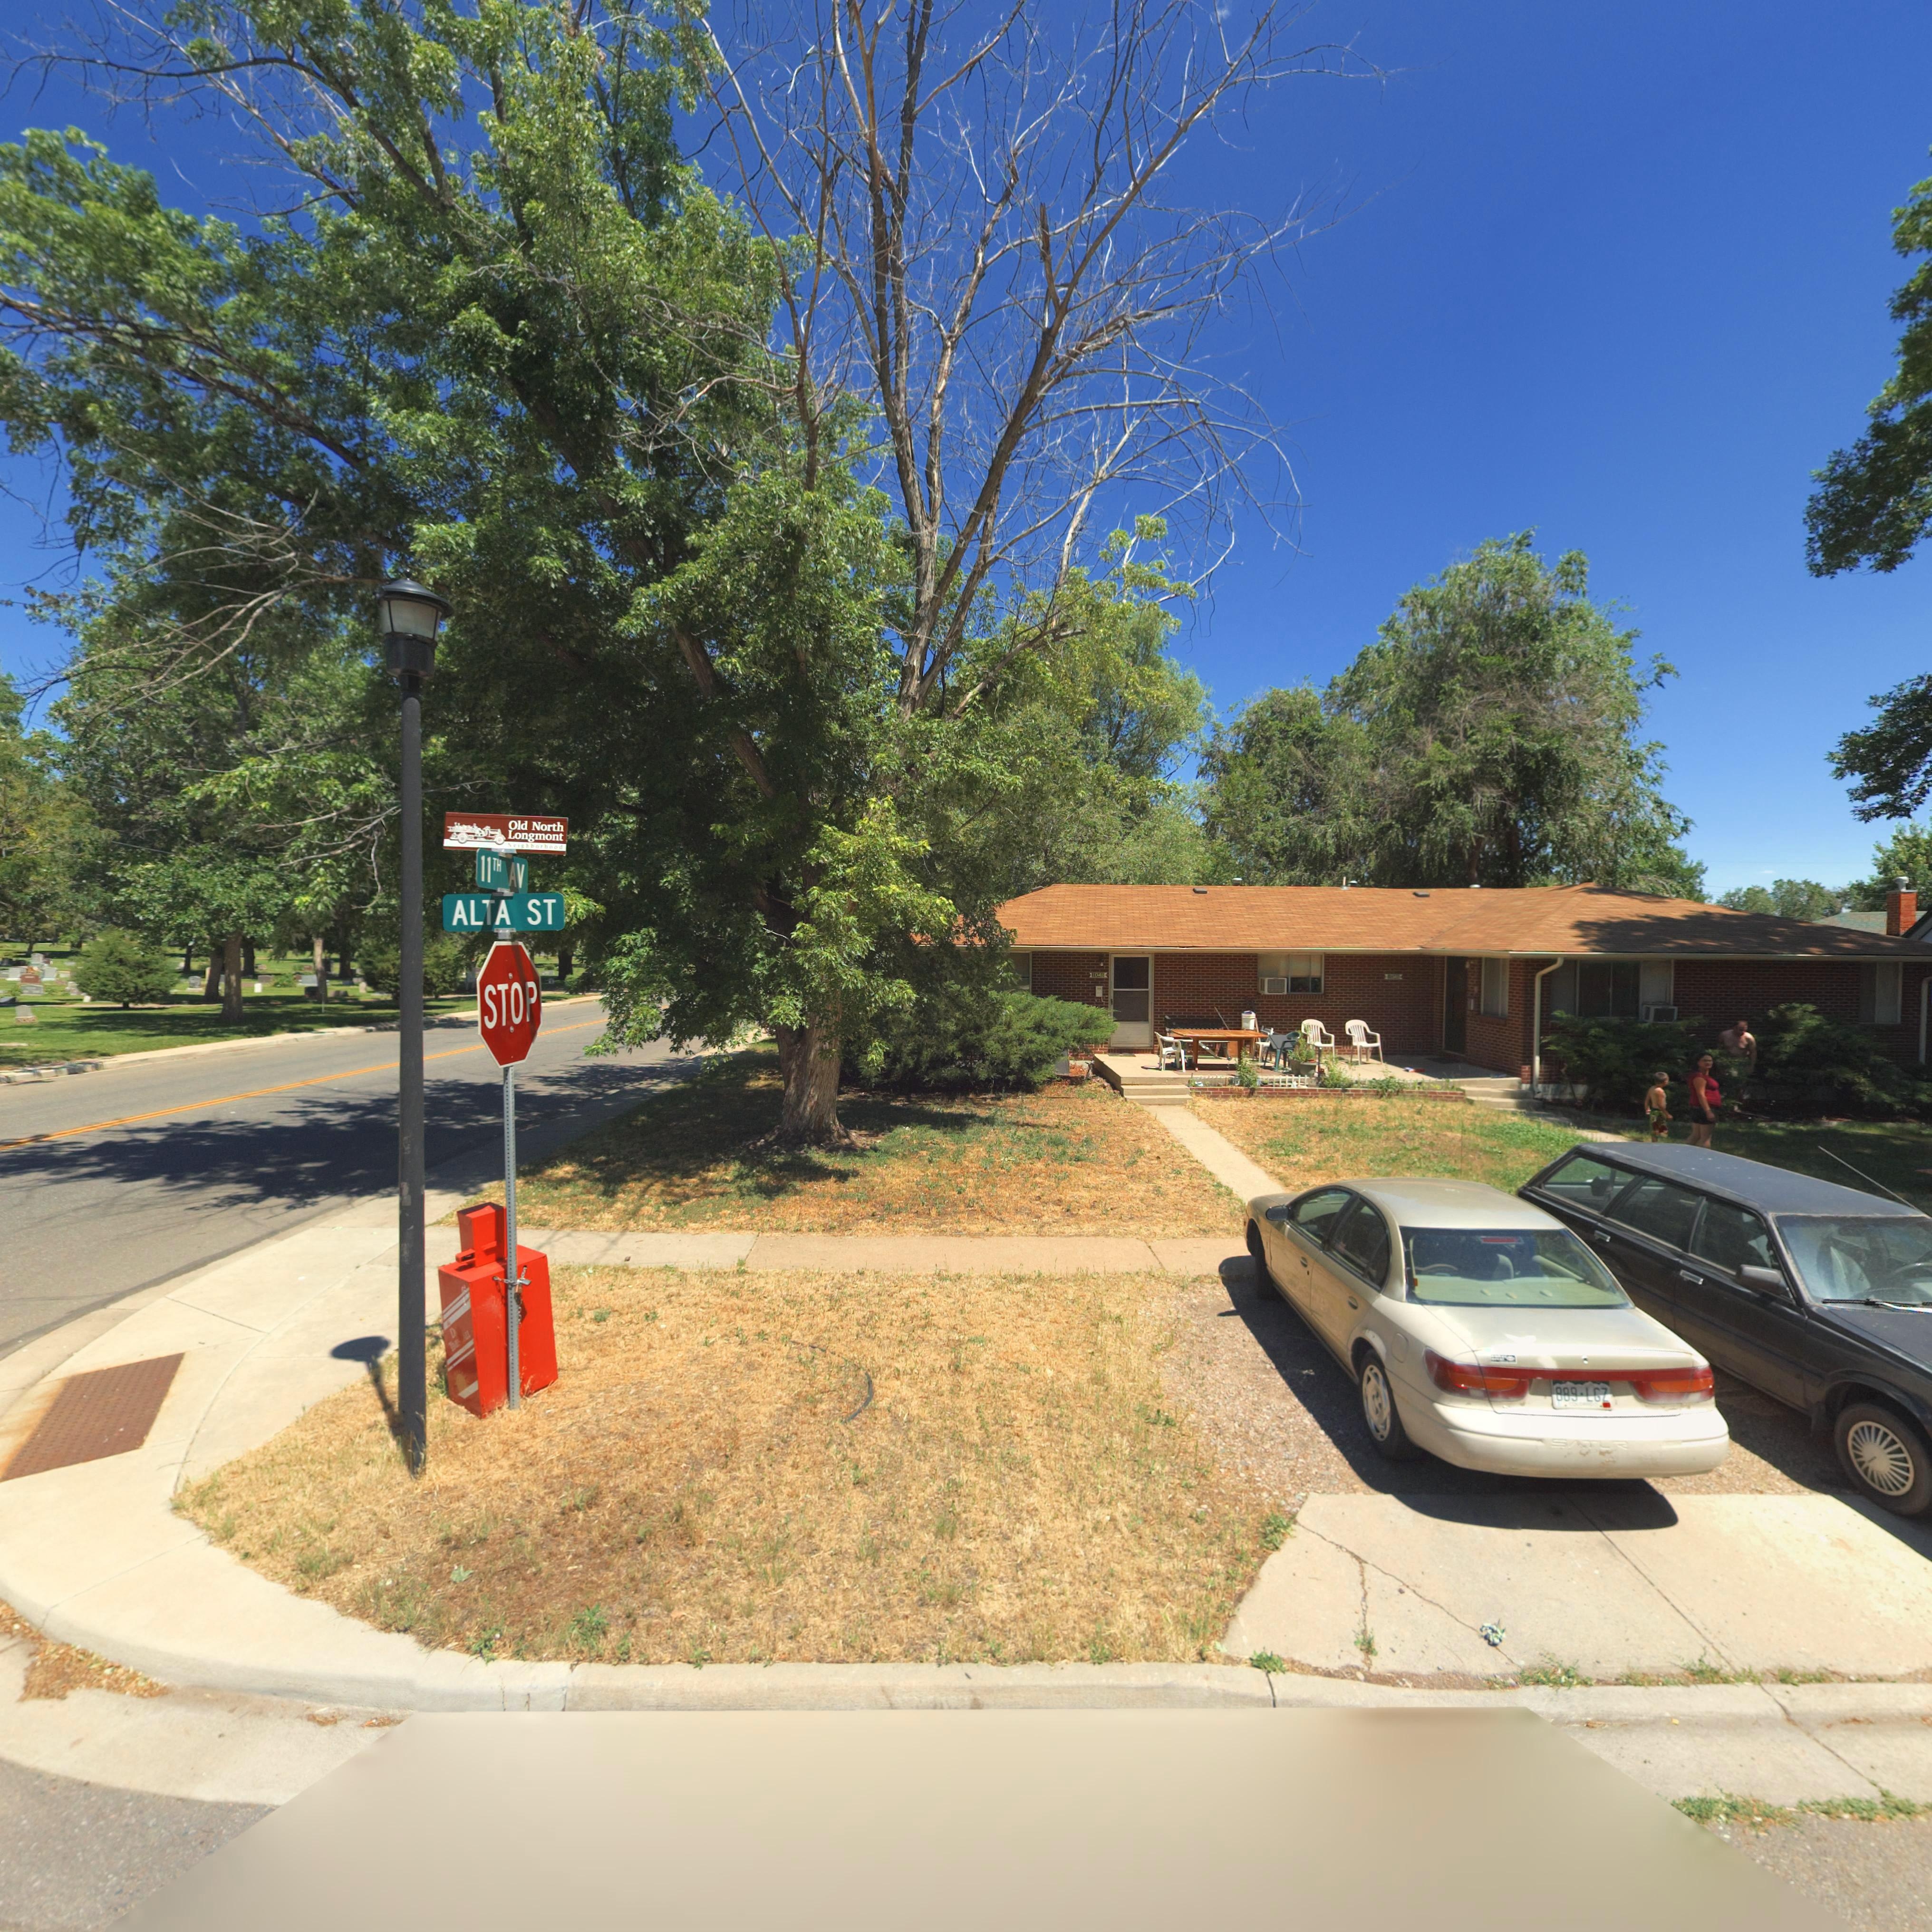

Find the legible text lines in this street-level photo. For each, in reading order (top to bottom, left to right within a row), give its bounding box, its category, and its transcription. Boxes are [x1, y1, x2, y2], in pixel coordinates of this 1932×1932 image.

[480, 854, 526, 889] StreetName: 11TH AV
[451, 898, 557, 926] StreetName: ALTA ST
[1092, 972, 1104, 977] StreetNumber: 1040